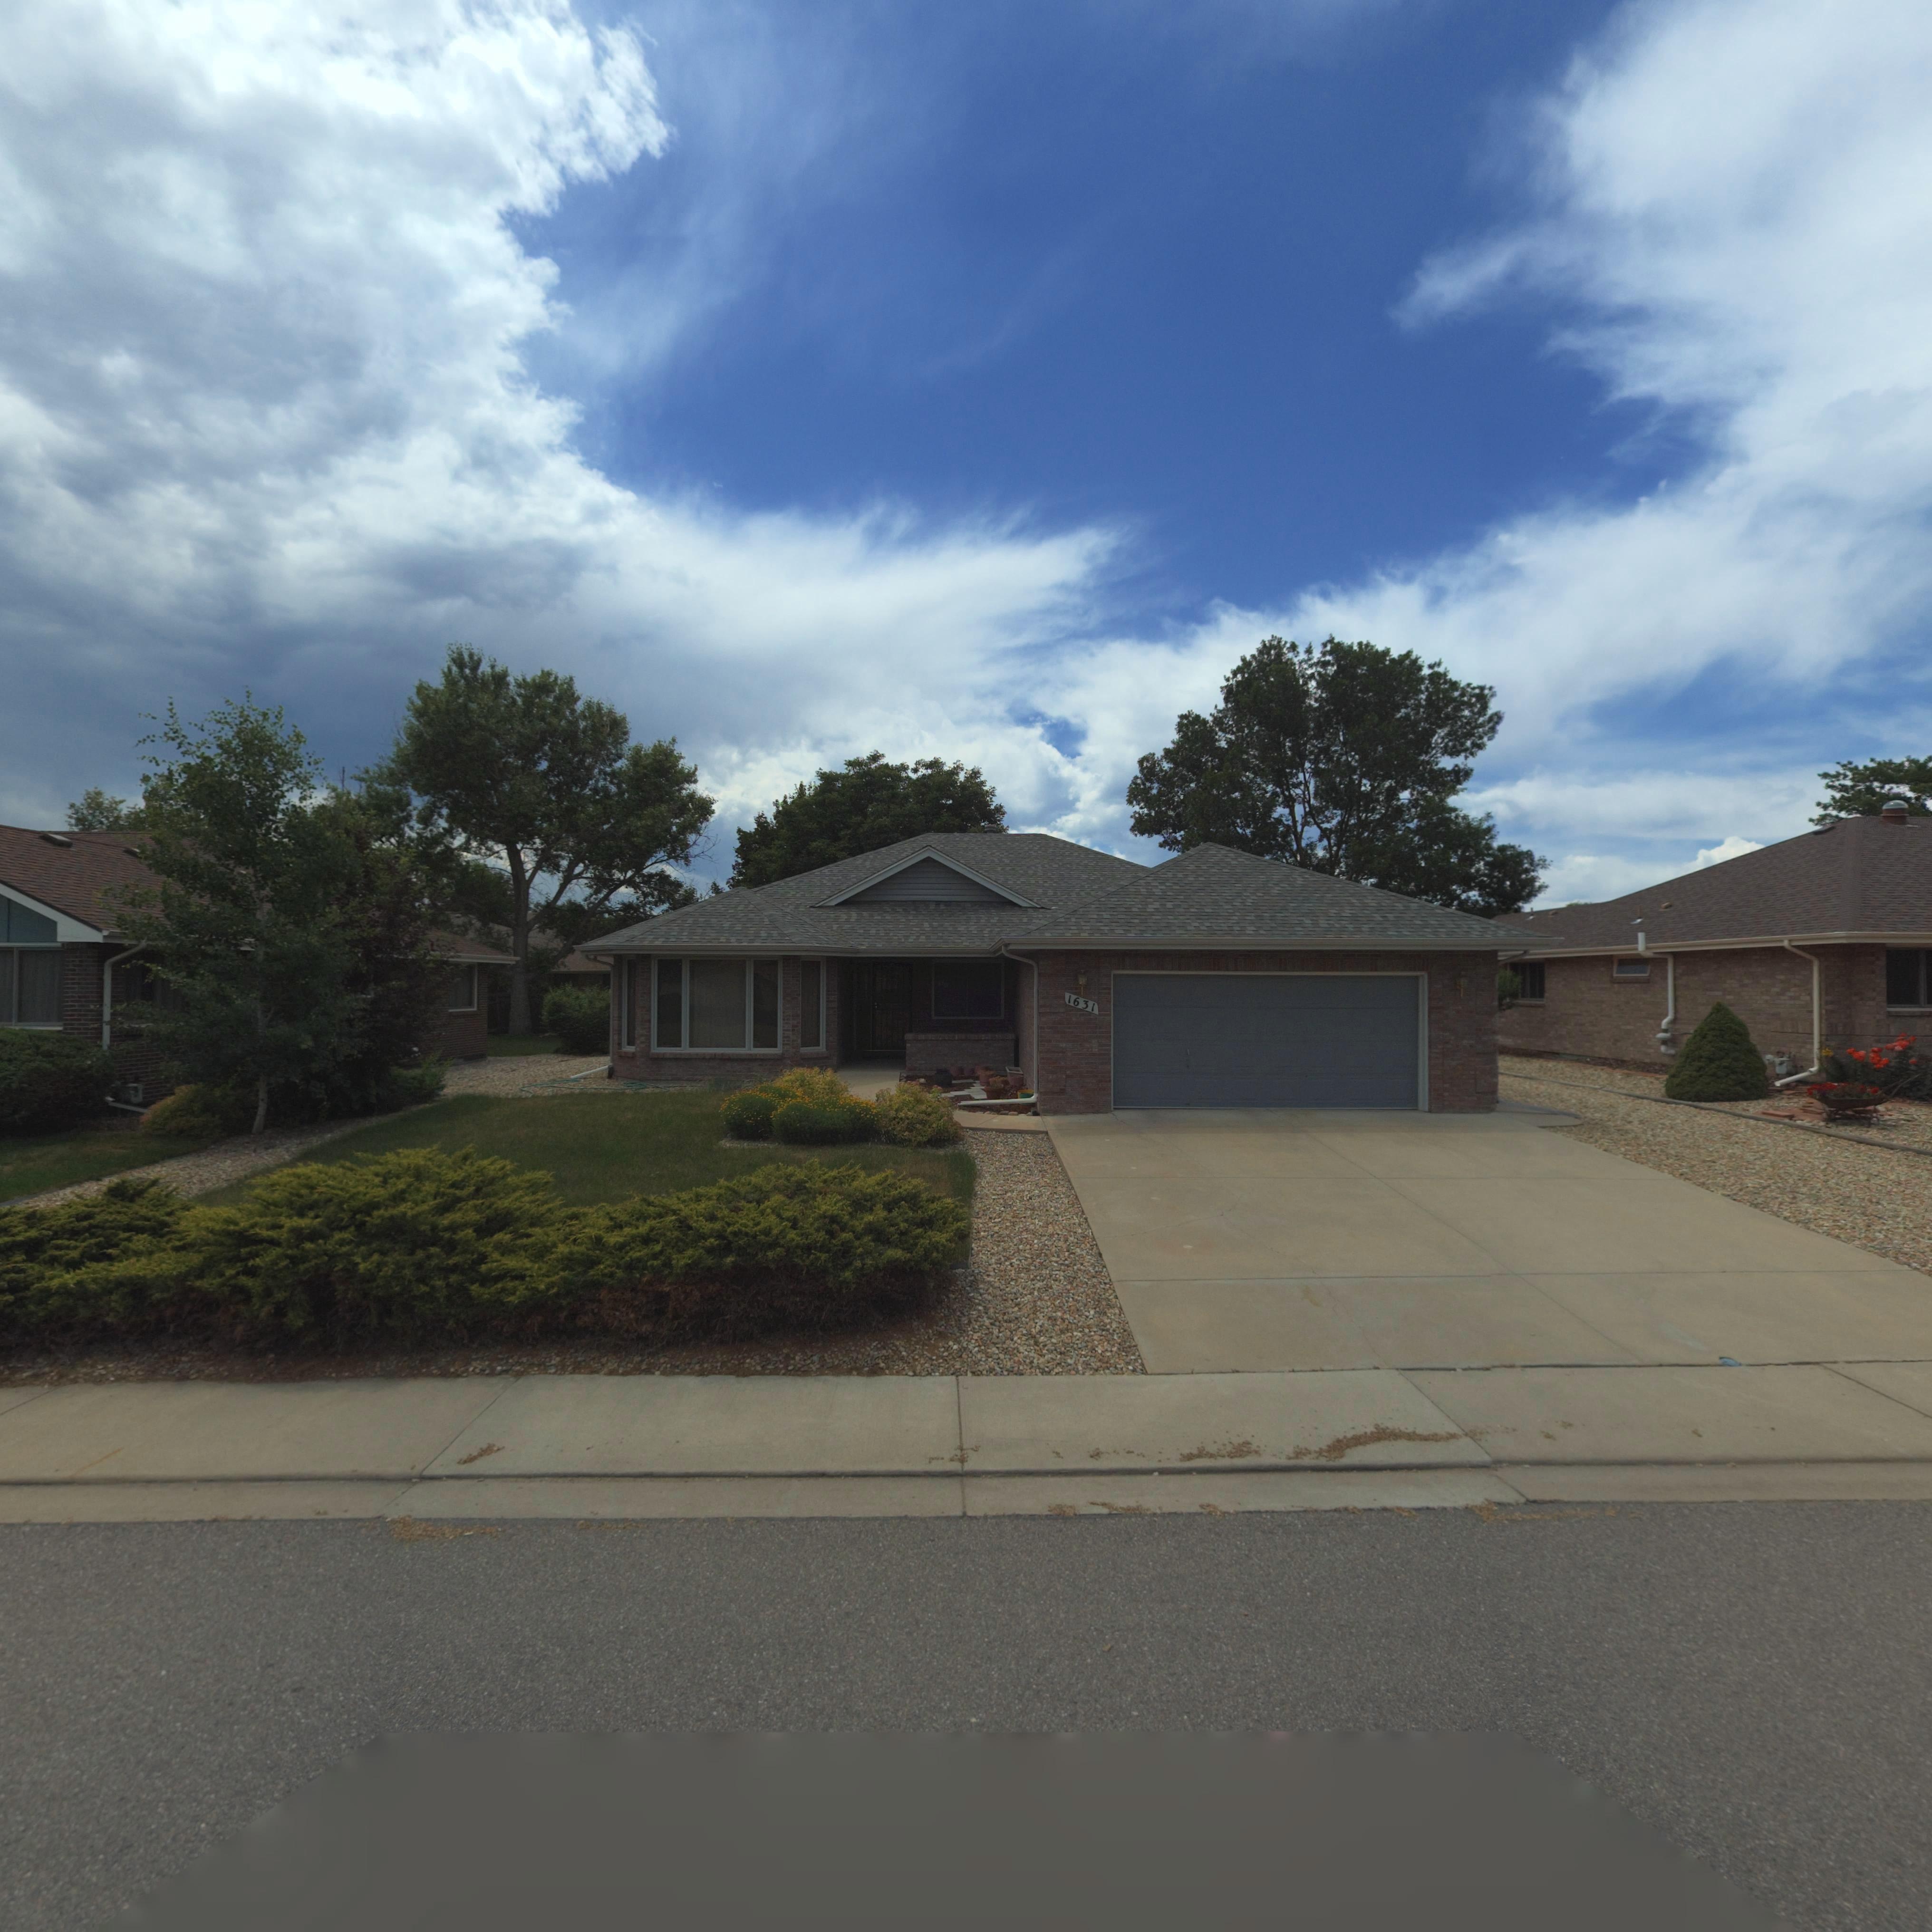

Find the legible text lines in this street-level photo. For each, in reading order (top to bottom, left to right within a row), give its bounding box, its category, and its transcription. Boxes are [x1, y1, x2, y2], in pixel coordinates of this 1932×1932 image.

[1067, 993, 1096, 1012] StreetNumber: 1631